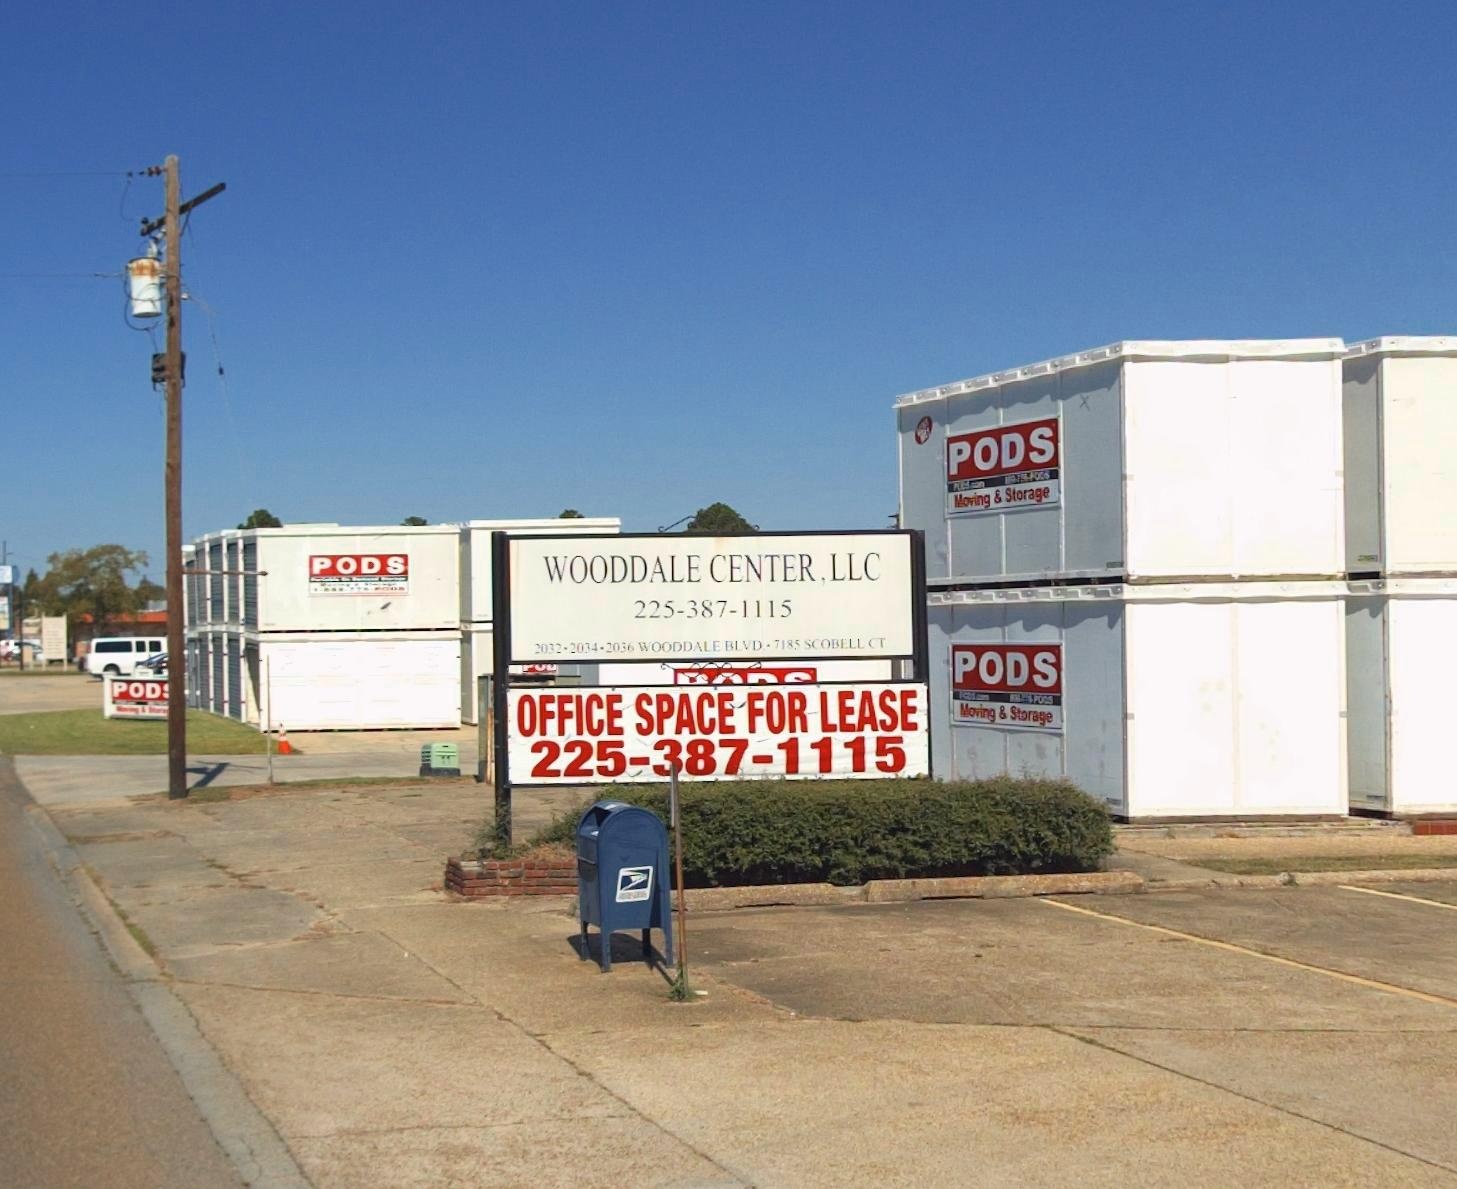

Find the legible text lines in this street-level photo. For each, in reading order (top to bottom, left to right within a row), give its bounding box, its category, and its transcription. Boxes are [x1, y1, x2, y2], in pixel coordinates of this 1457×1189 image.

[1077, 390, 1092, 415] None: X
[947, 423, 1058, 478] BusinessName: PODS
[951, 484, 1053, 512] None: Moving & Storage
[311, 554, 407, 576] BusinessName: PODS
[538, 549, 884, 587] BusinessName: WOODDALE CENTER,LLC
[630, 596, 796, 622] None: 225-387-1115
[532, 640, 564, 657] StreetNumber: 2032
[568, 639, 600, 657] StreetNumber: 2034
[603, 639, 638, 656] StreetNumber: 2036
[636, 637, 765, 655] StreetName: WOODDALE BLVD
[771, 636, 804, 652] StreetNumber: 7185
[802, 635, 889, 653] StreetName: SCOBELL CT
[952, 648, 1060, 690] BusinessName: PODS
[111, 680, 162, 700] BusinessName: POD
[514, 687, 921, 740] None: OFFICE SPACE FOR LEASE
[958, 699, 1057, 729] None: Moving & Storage
[528, 732, 909, 780] None: 225-387-1115